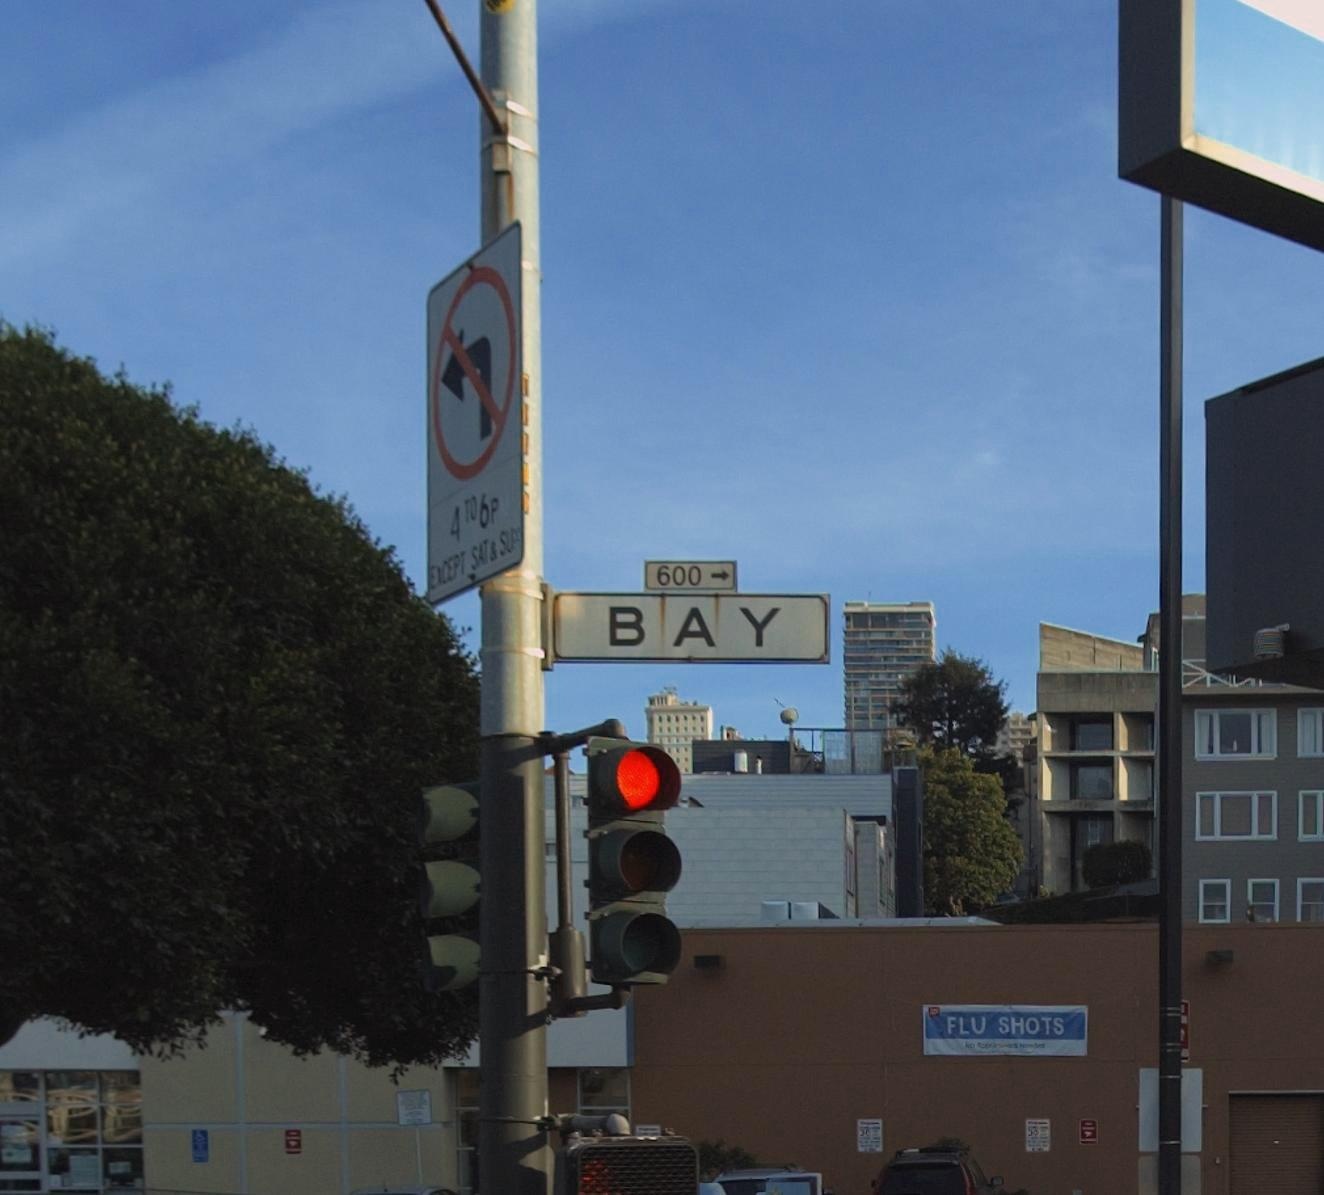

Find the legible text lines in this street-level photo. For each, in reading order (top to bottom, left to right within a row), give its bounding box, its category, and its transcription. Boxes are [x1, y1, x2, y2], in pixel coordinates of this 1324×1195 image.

[444, 486, 503, 547] None: 4 TO 6P
[426, 516, 523, 594] None: EXCEPT SAT & SU*
[653, 562, 733, 589] StreetNumberRange: 600->
[606, 602, 784, 651] StreetName: BAY
[944, 1012, 1069, 1038] None: FLU SHOTS